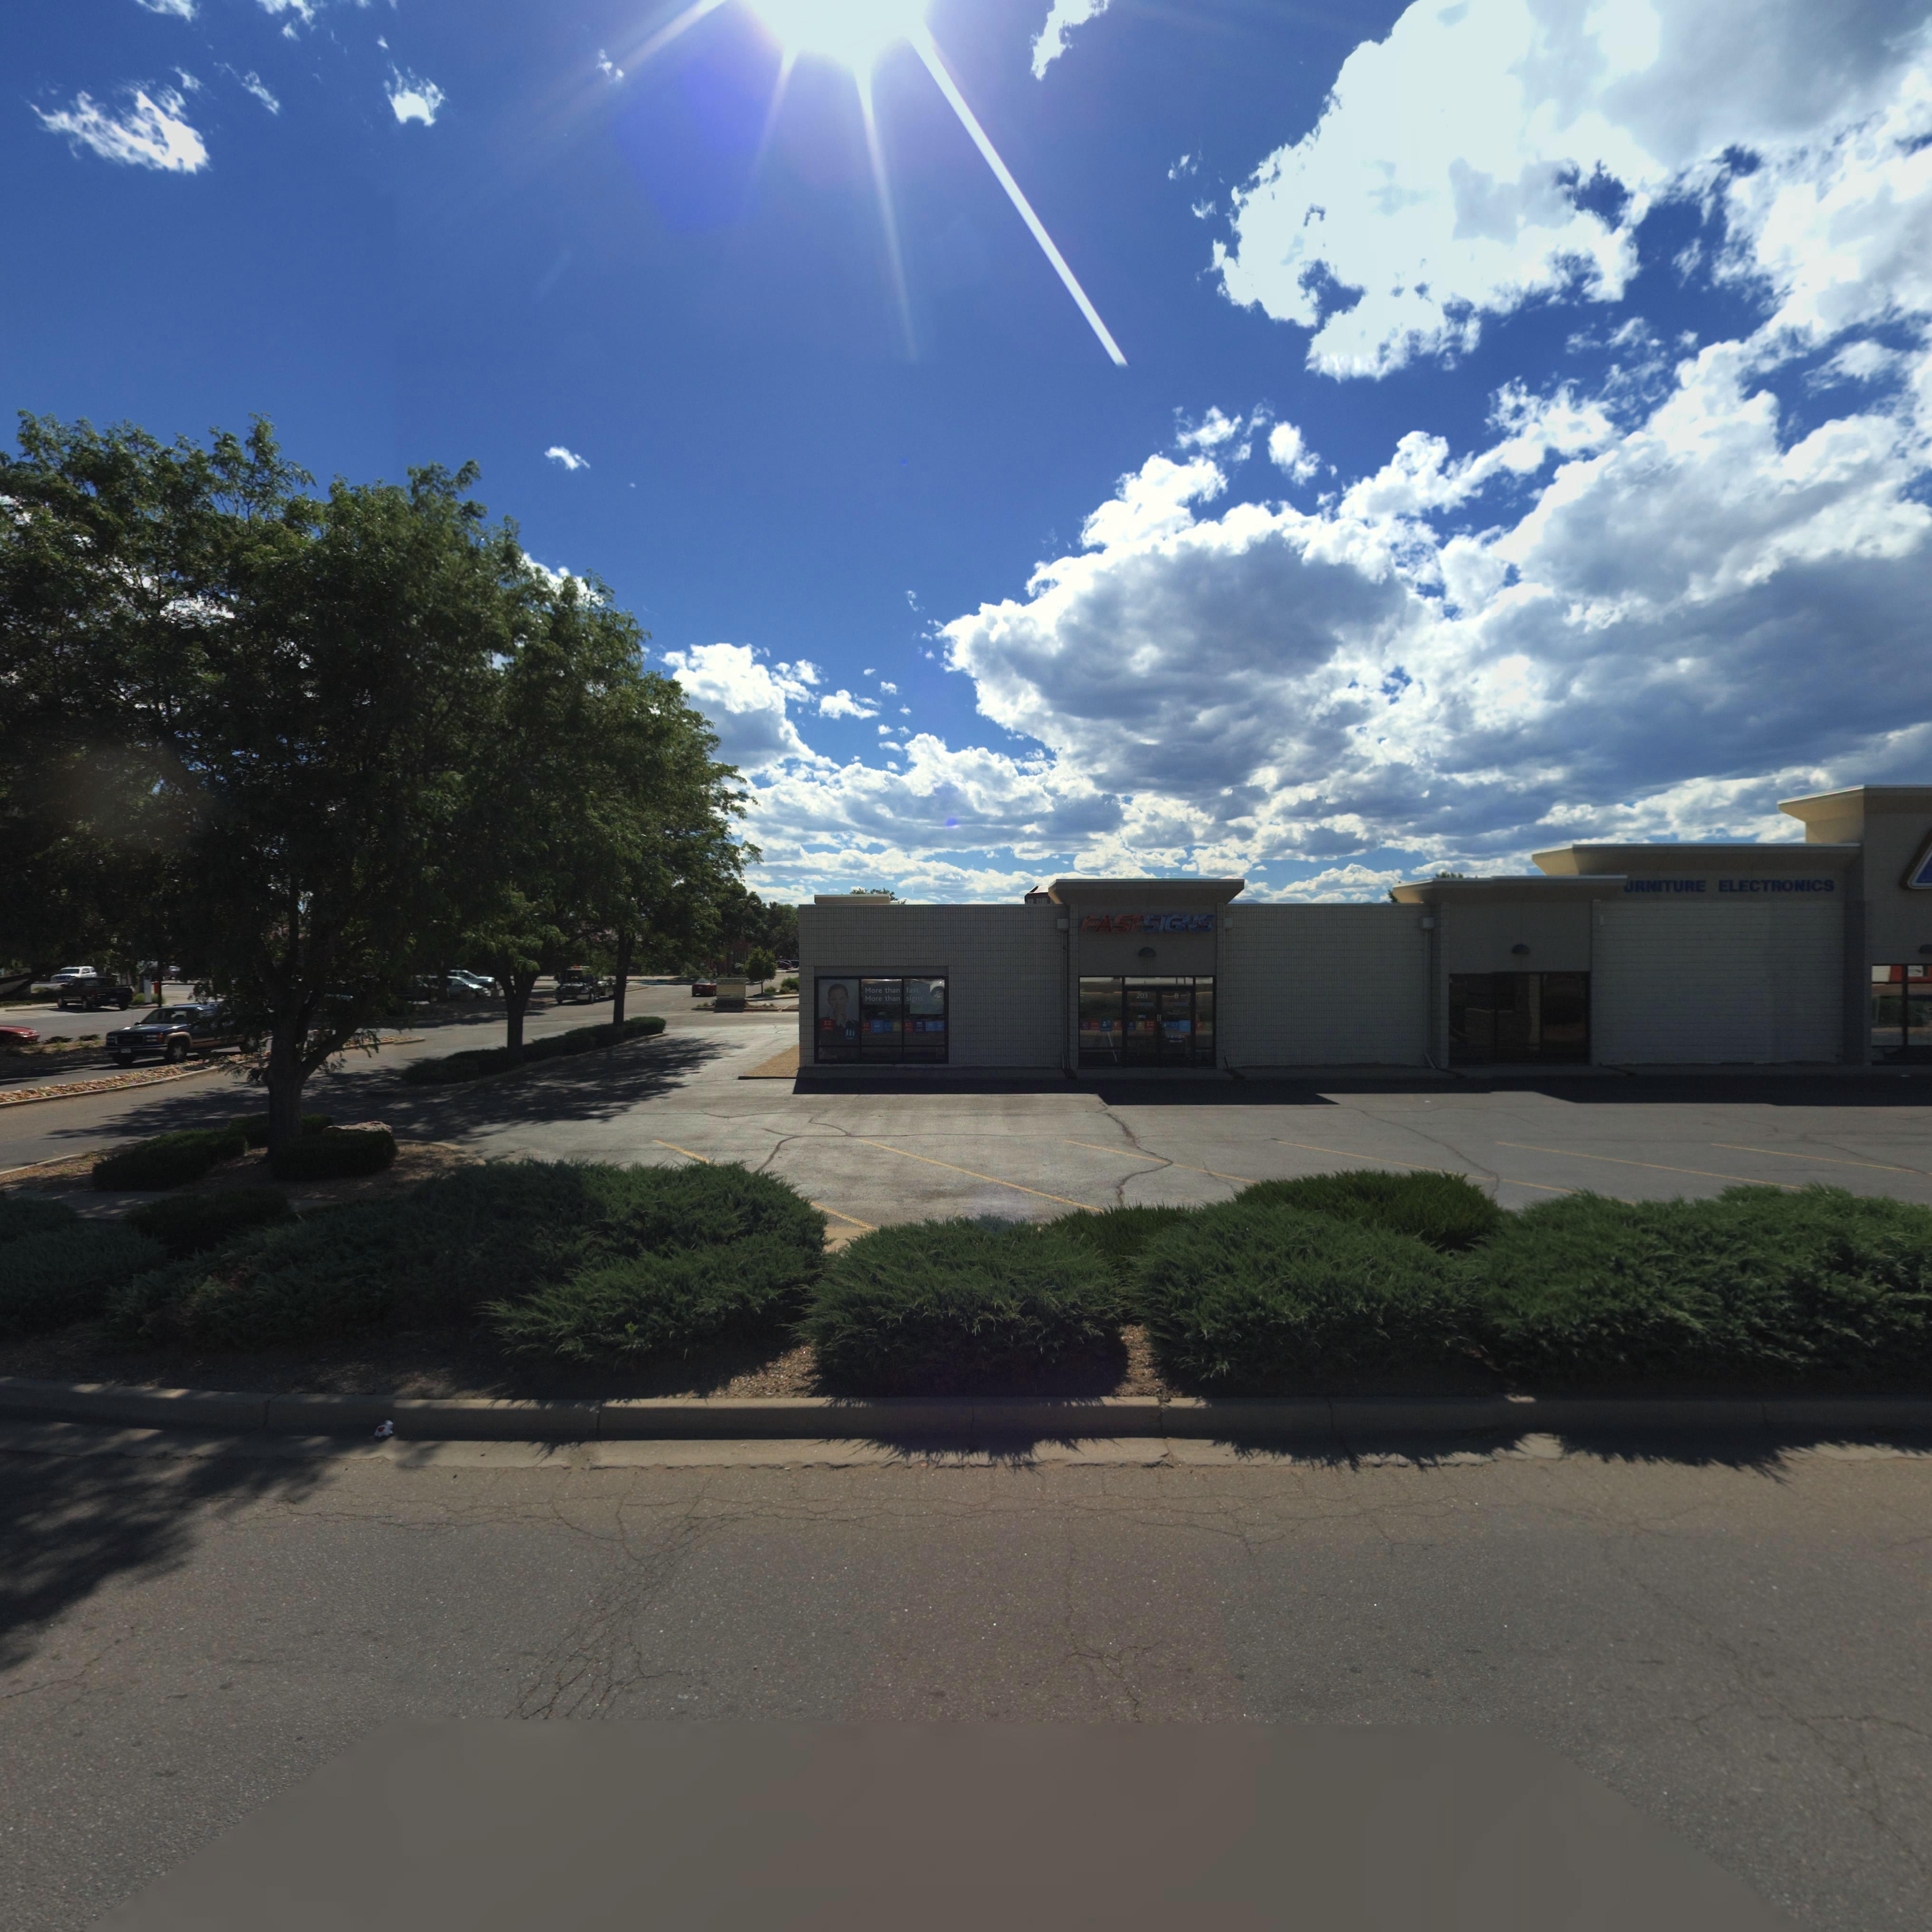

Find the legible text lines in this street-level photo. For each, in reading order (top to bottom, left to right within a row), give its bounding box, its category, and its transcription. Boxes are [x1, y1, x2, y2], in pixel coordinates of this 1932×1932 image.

[1079, 913, 1216, 933] BusinessName: FASTSIGNS
[1136, 992, 1148, 999] StreetNumber: 203
[1174, 992, 1179, 999] TrafficSign: B